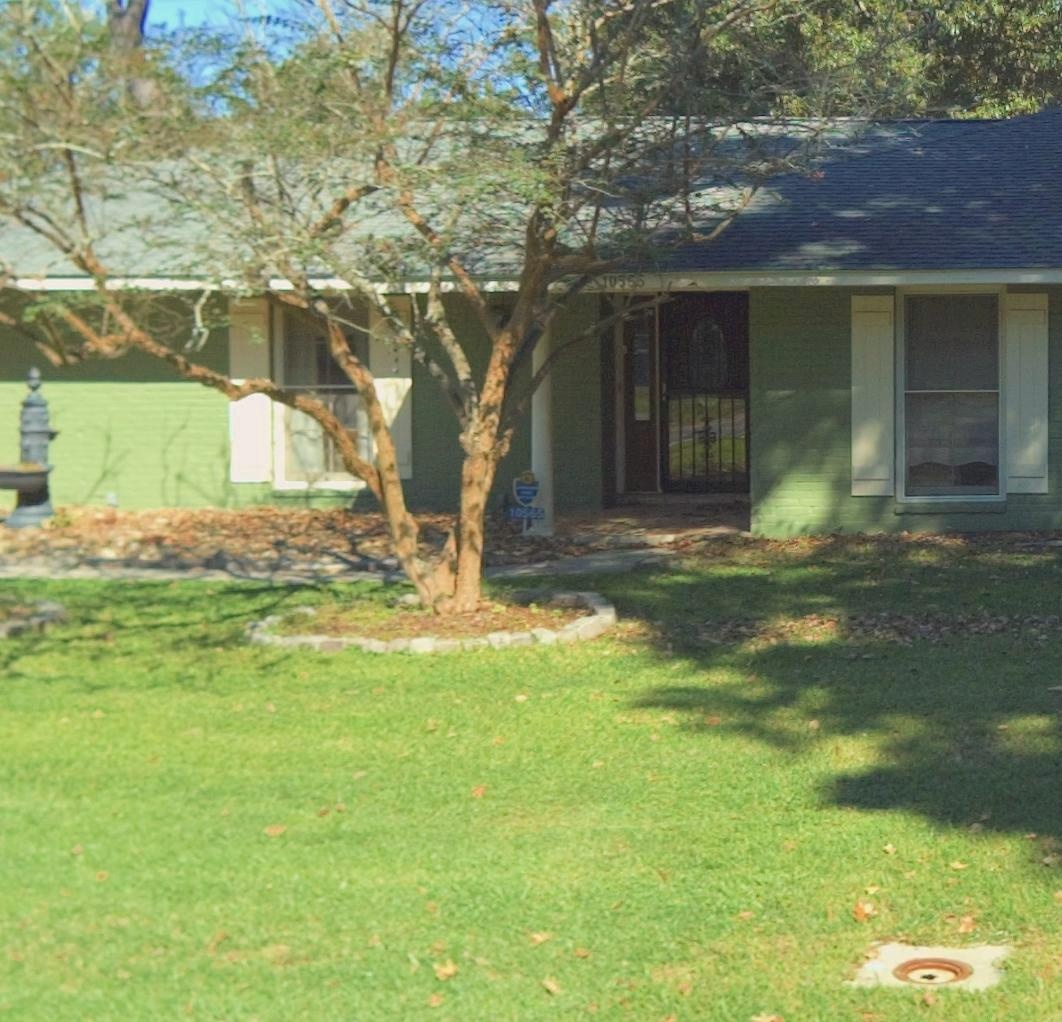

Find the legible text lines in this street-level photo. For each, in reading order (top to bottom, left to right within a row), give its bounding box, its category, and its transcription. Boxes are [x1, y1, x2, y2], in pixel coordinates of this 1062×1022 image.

[600, 272, 647, 290] StreetNumber: 1055*
[508, 505, 545, 519] StreetNumber: 105*5